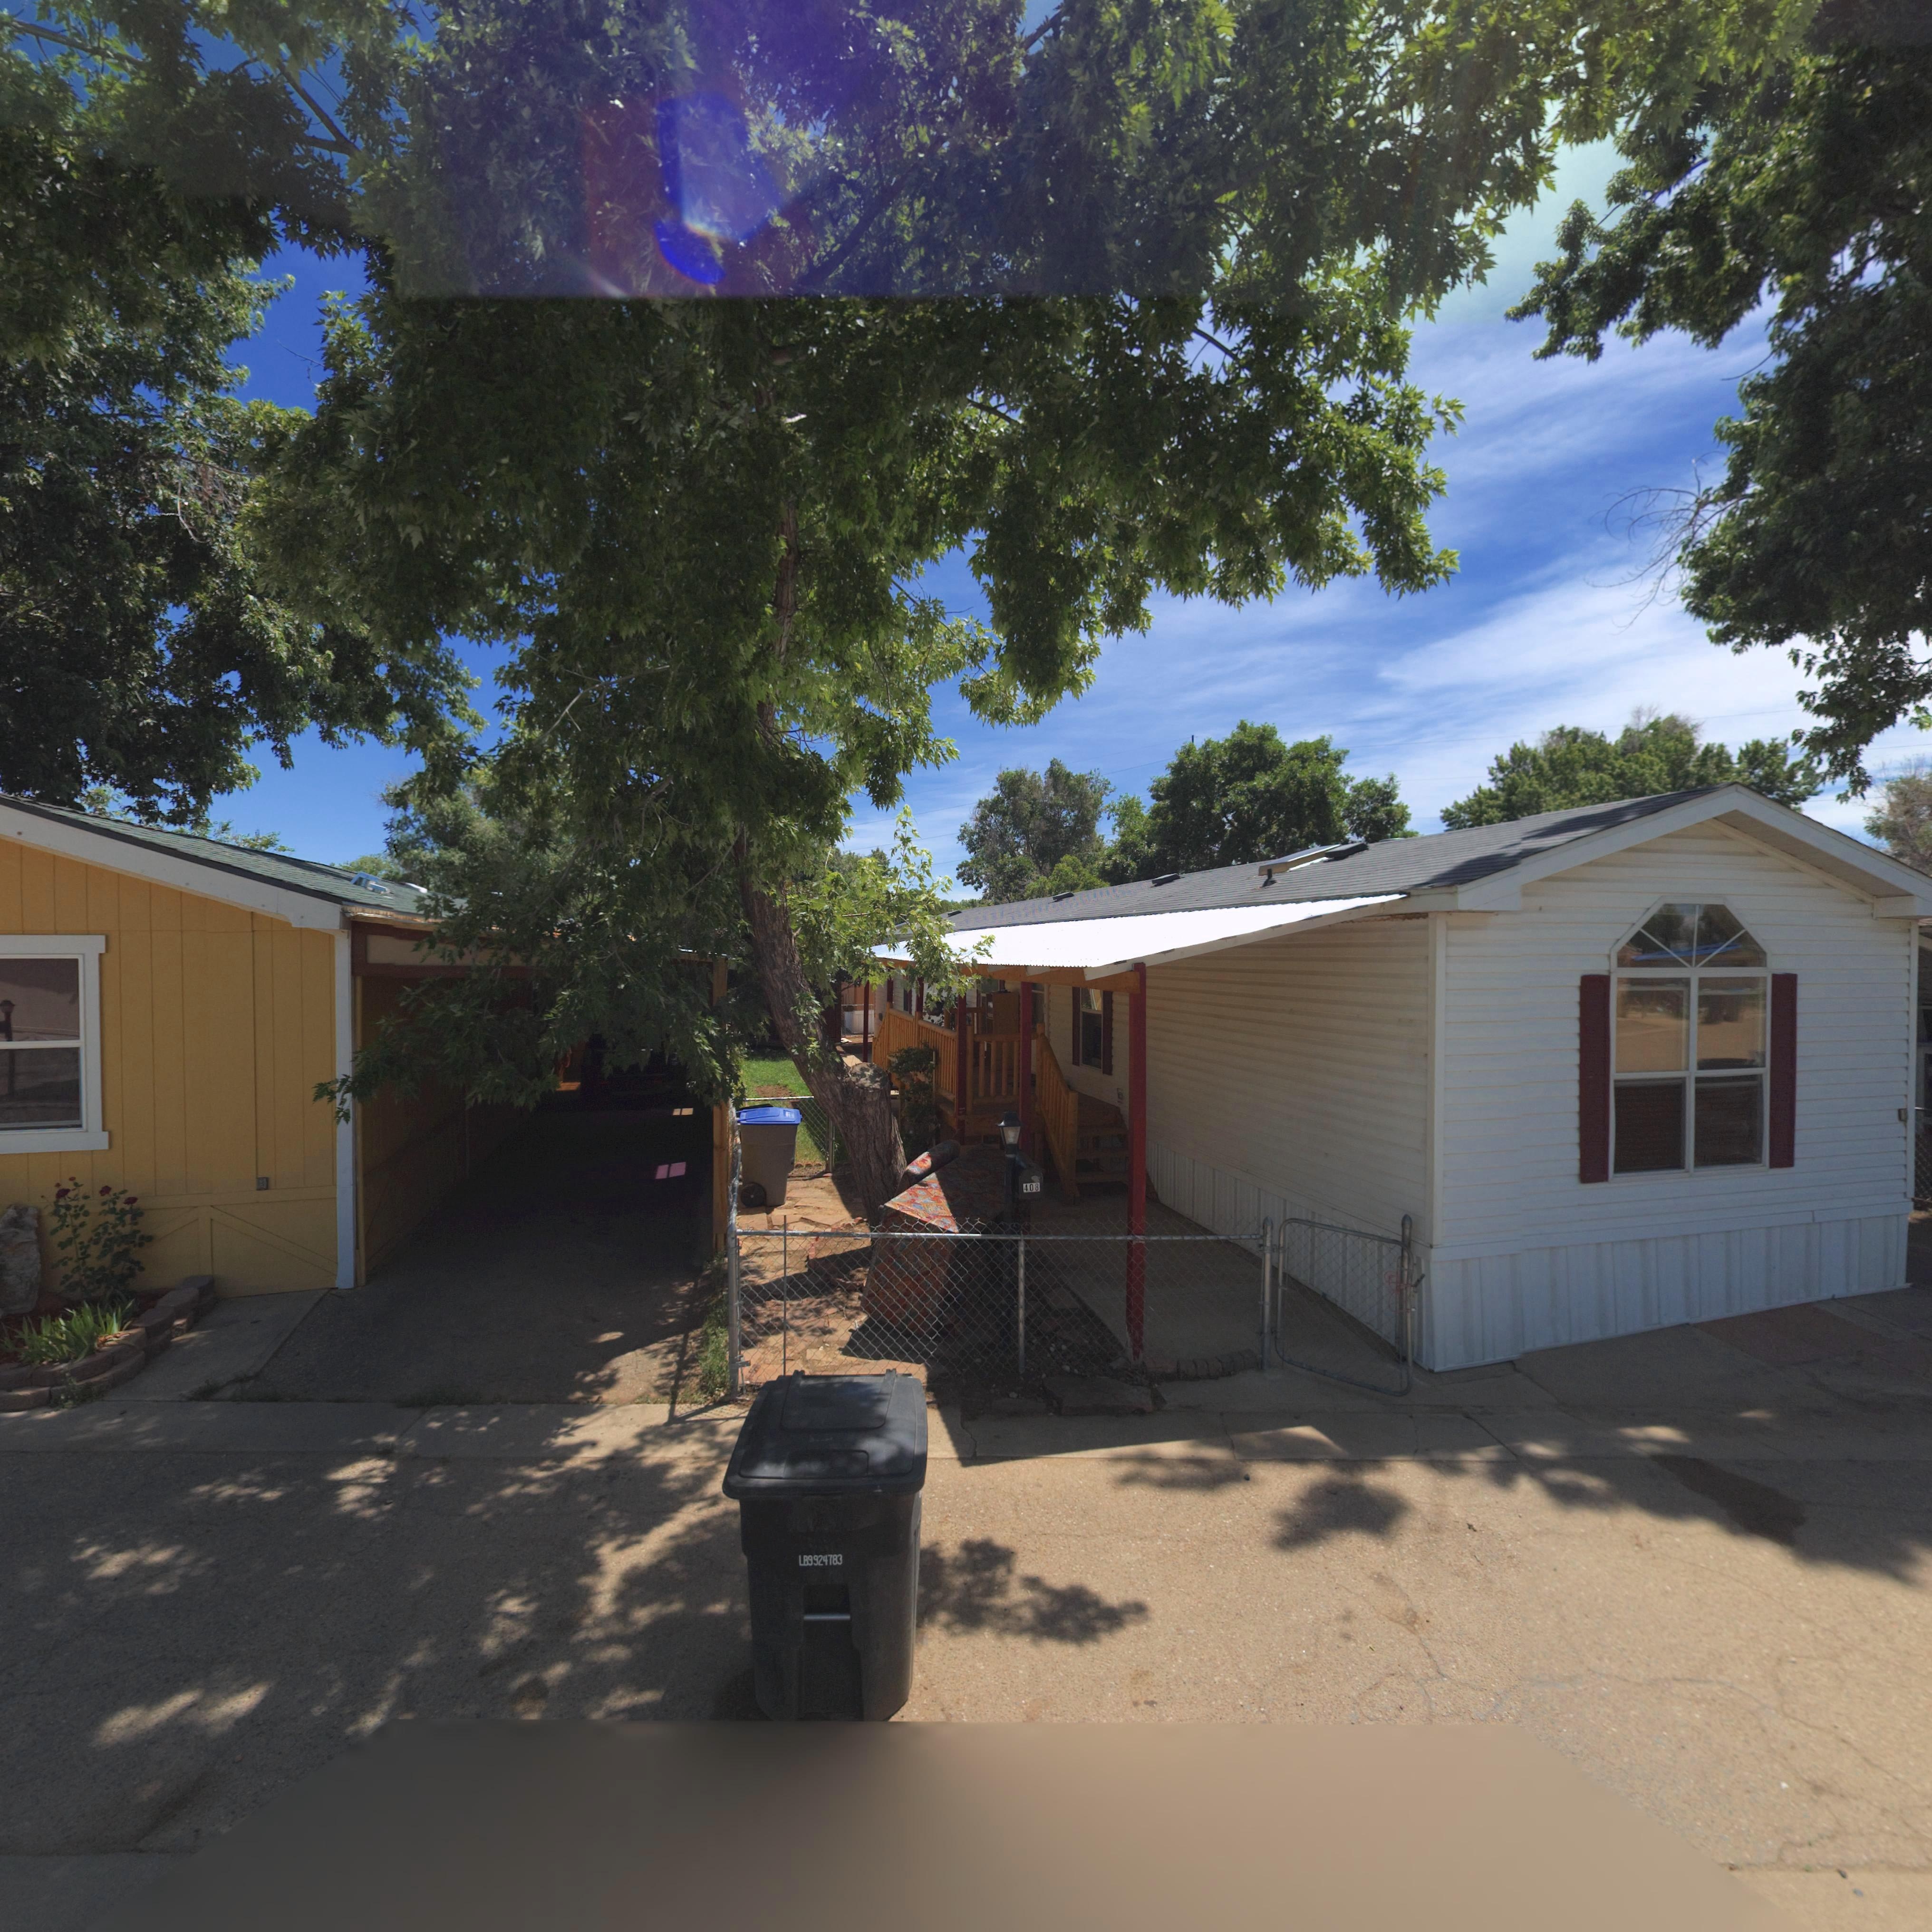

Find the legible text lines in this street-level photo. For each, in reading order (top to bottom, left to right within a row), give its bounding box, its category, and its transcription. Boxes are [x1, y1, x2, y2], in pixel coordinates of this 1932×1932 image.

[1024, 1183, 1038, 1191] StreetNumber: 408